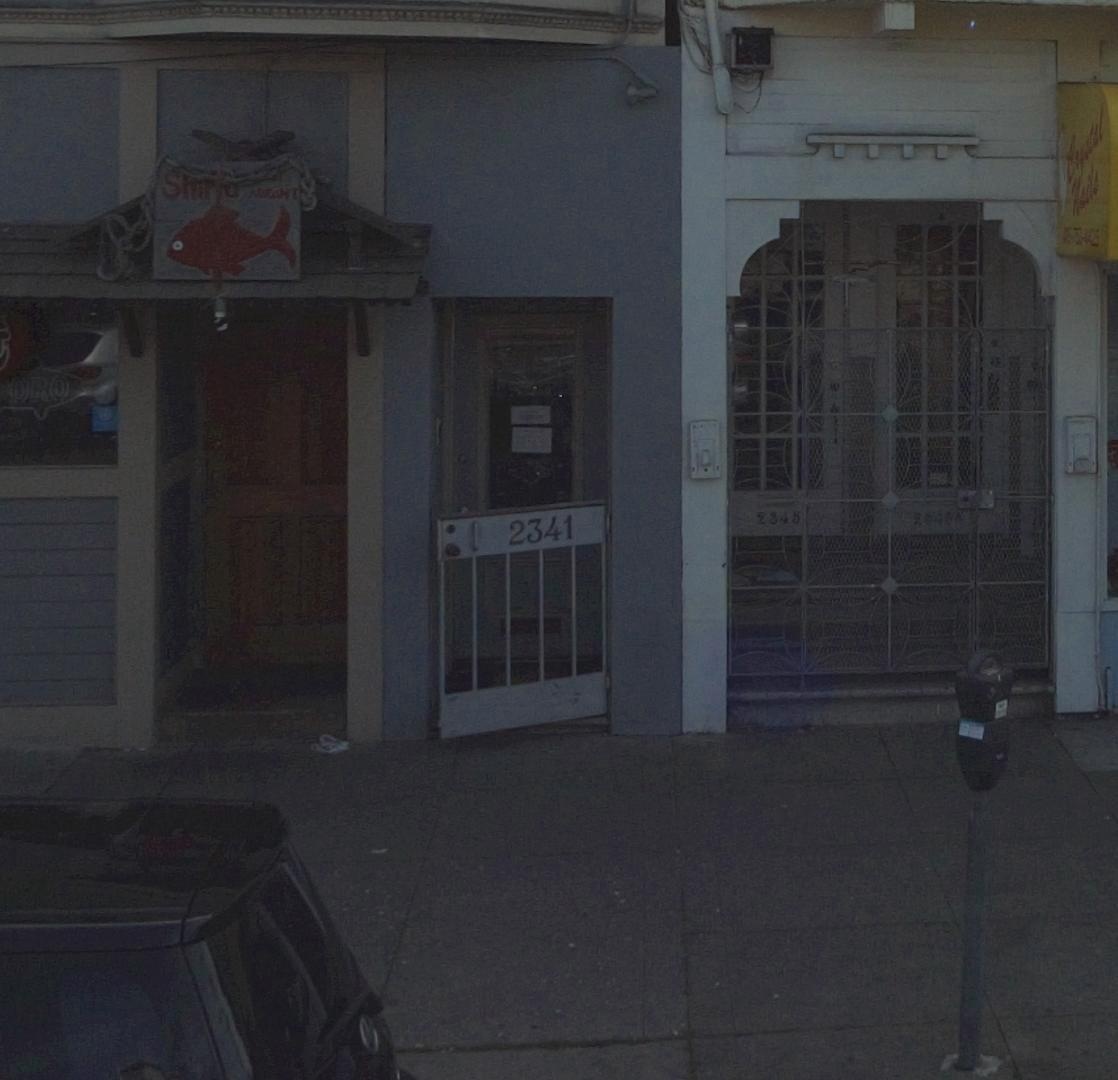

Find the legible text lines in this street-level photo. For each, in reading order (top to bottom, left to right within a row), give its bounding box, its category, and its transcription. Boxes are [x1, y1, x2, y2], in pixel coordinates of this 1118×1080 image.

[158, 168, 183, 205] BusinessName: S
[246, 185, 302, 201] BusinessName: N
[28, 374, 70, 404] None: RO
[505, 511, 576, 549] StreetNumber: 2341
[754, 507, 803, 528] StreetNumber: 2345